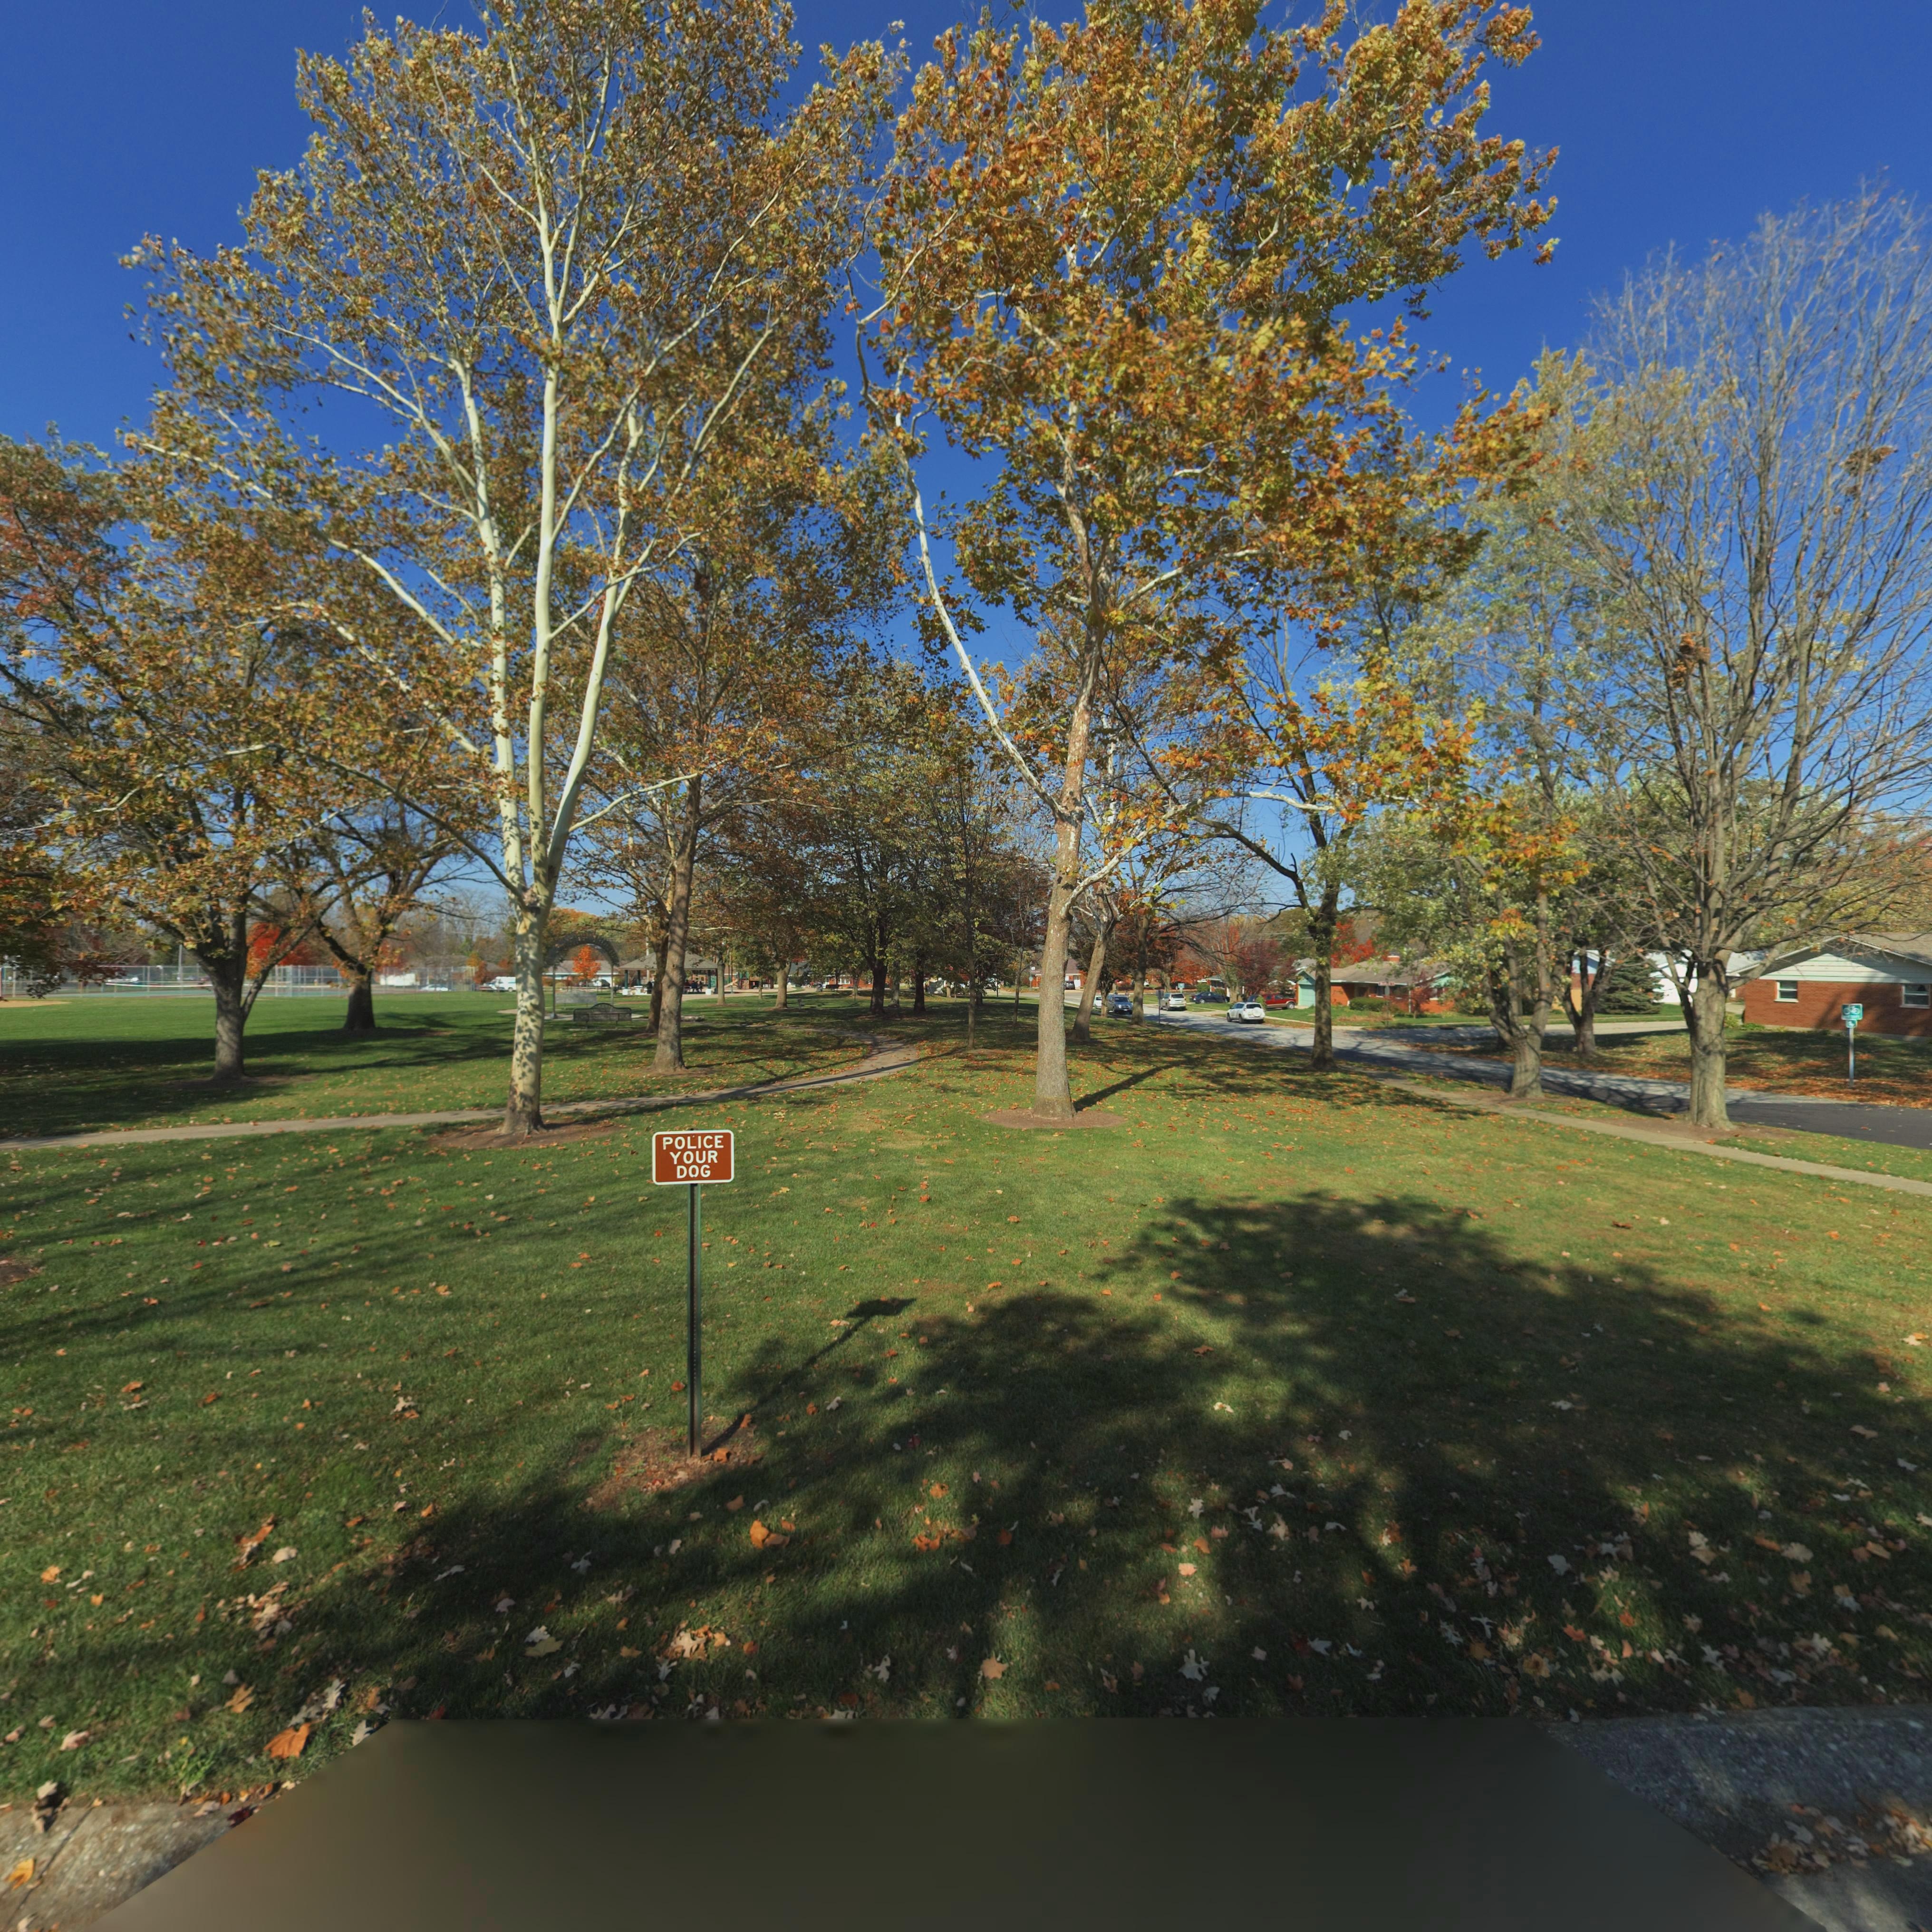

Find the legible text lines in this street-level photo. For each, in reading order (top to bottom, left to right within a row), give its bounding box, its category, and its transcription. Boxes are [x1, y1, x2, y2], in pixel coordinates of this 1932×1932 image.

[661, 1133, 725, 1151] None: POLICE
[667, 1149, 720, 1166] None: YOUR
[675, 1162, 713, 1180] None: DOG